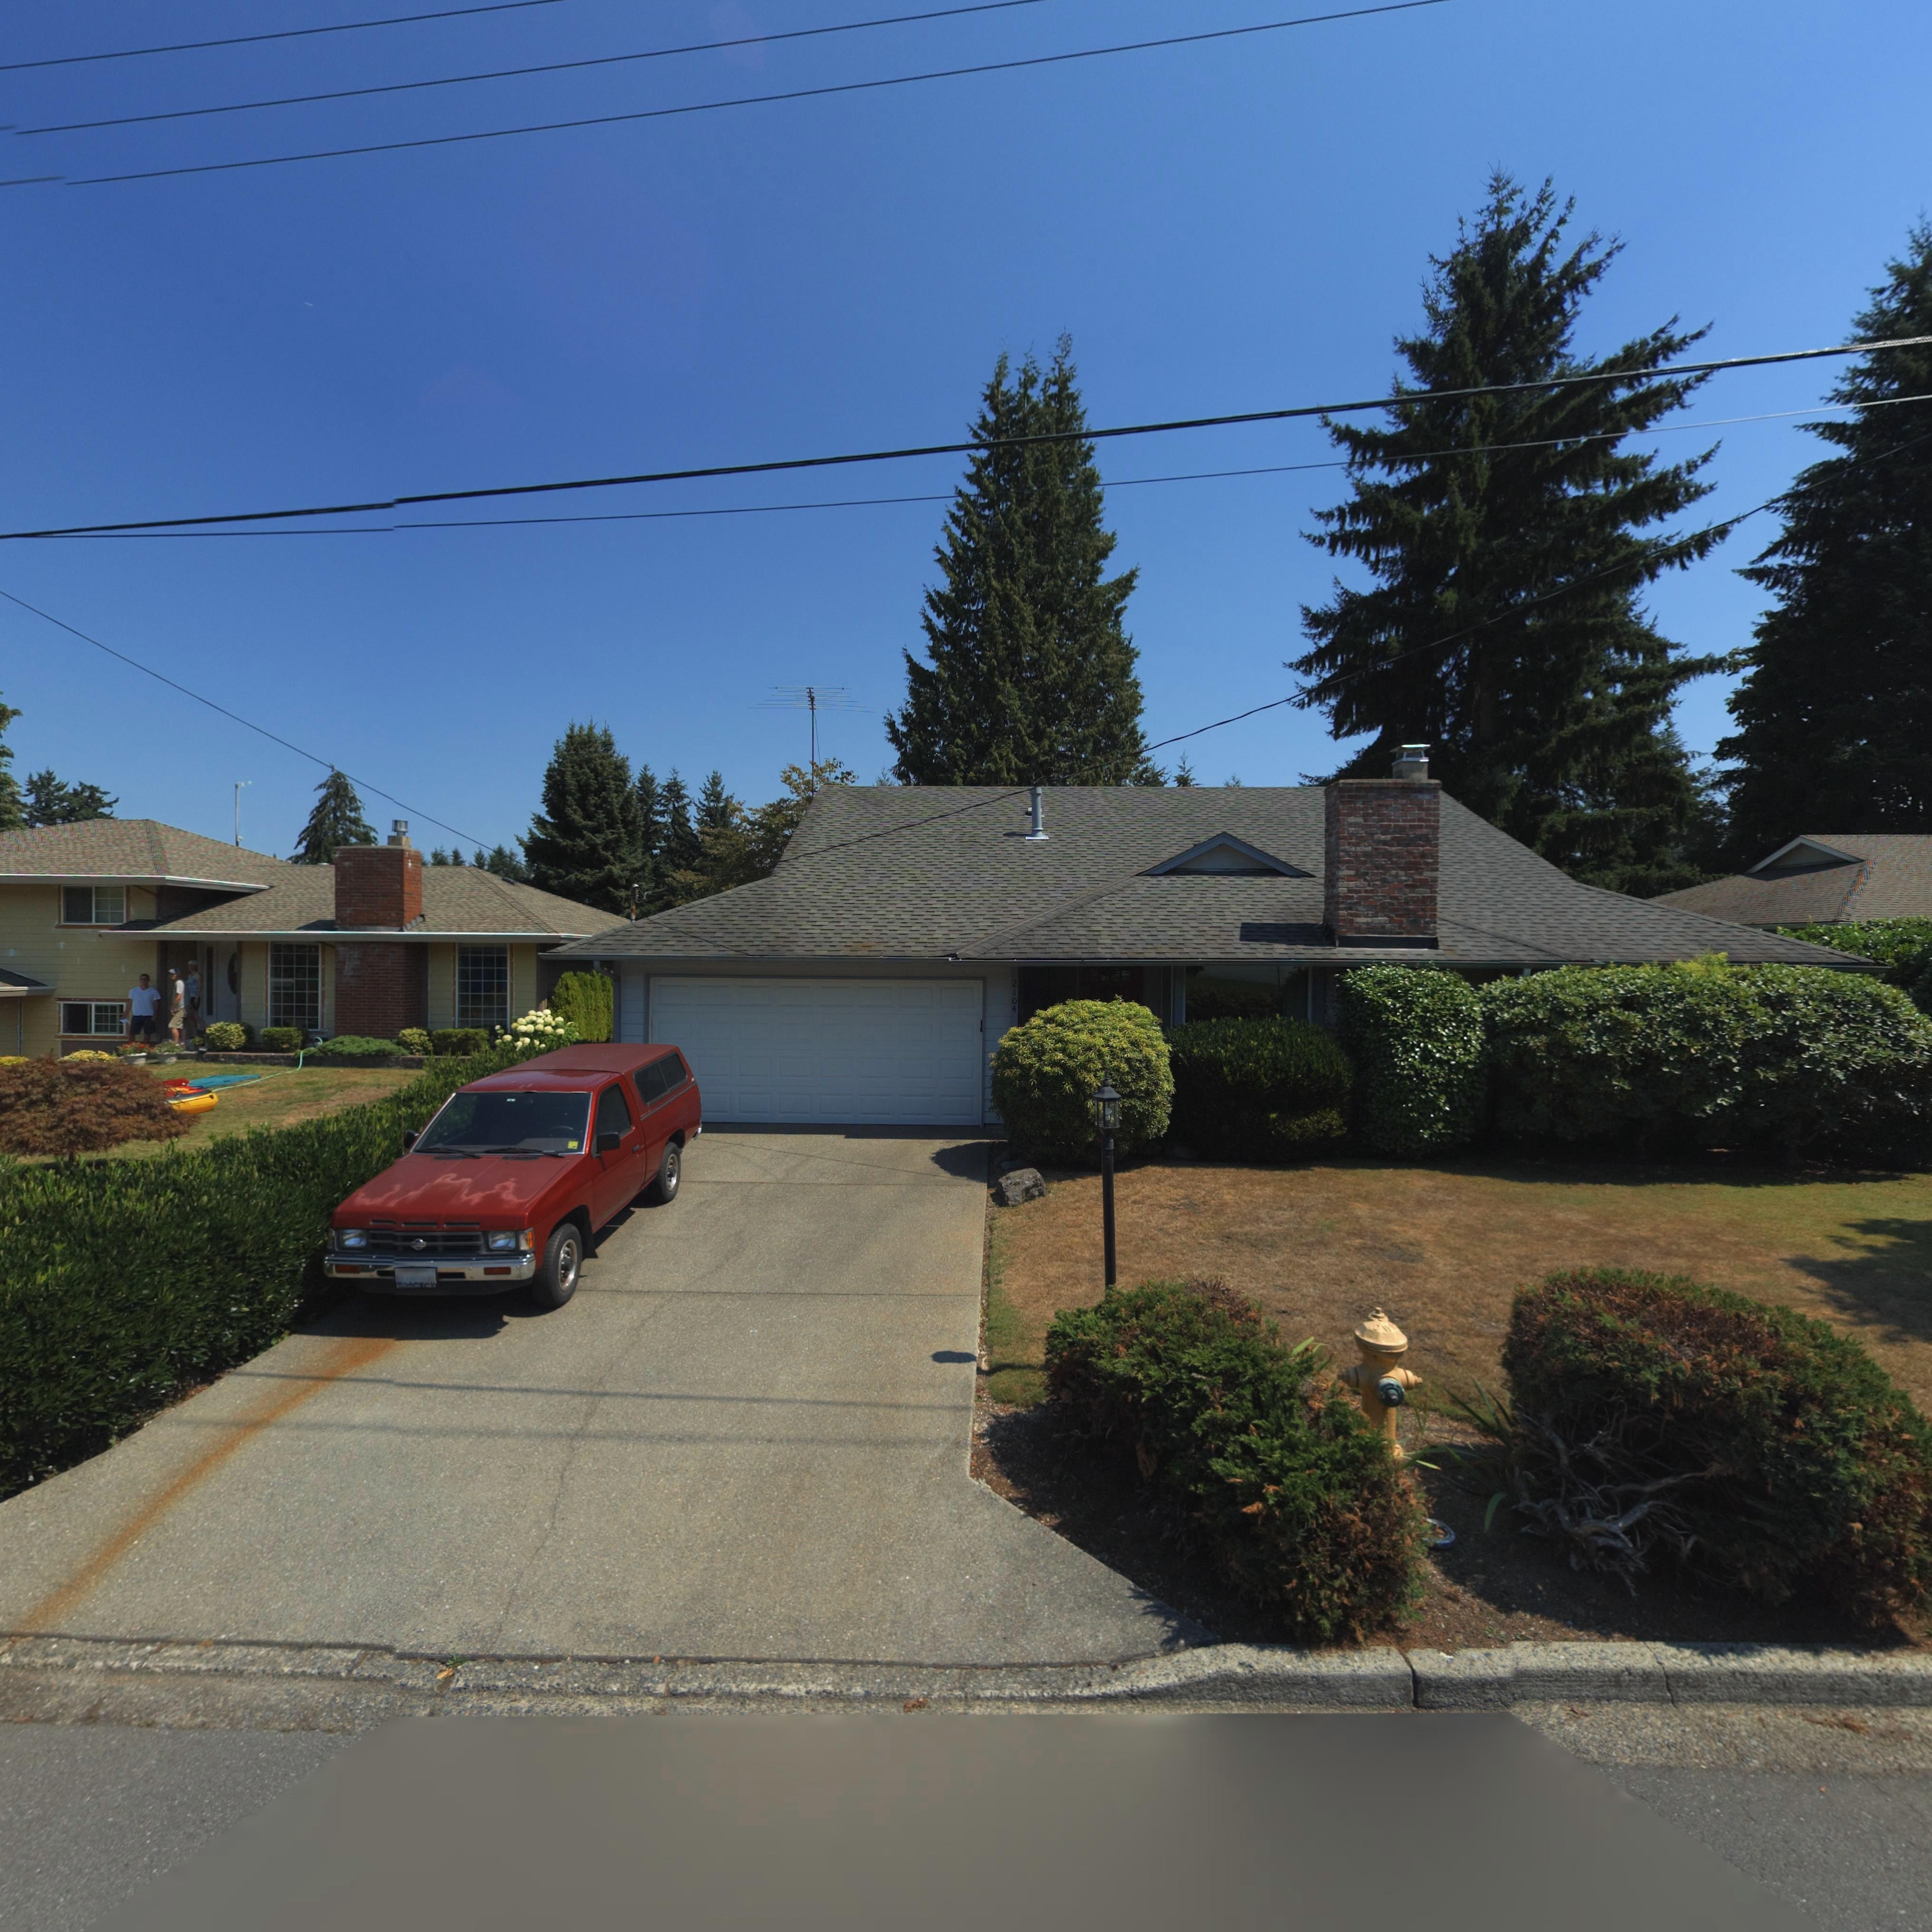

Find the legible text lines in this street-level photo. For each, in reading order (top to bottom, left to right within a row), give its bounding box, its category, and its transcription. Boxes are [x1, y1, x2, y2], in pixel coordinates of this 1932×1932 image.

[1010, 979, 1017, 1013] StreetNumber: 2104